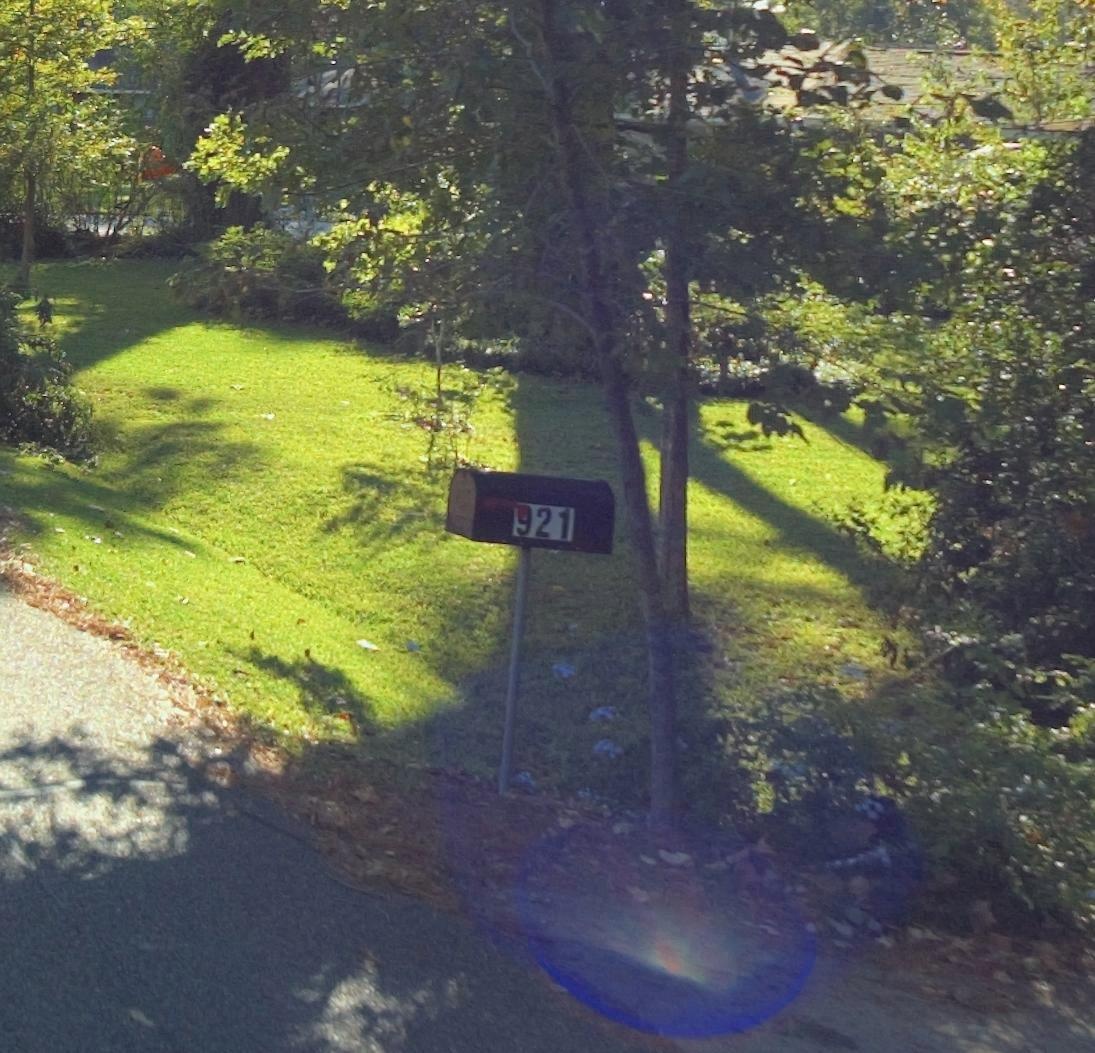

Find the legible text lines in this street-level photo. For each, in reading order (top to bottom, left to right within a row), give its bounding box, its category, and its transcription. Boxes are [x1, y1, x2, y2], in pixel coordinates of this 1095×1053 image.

[513, 502, 574, 543] StreetNumber: 921